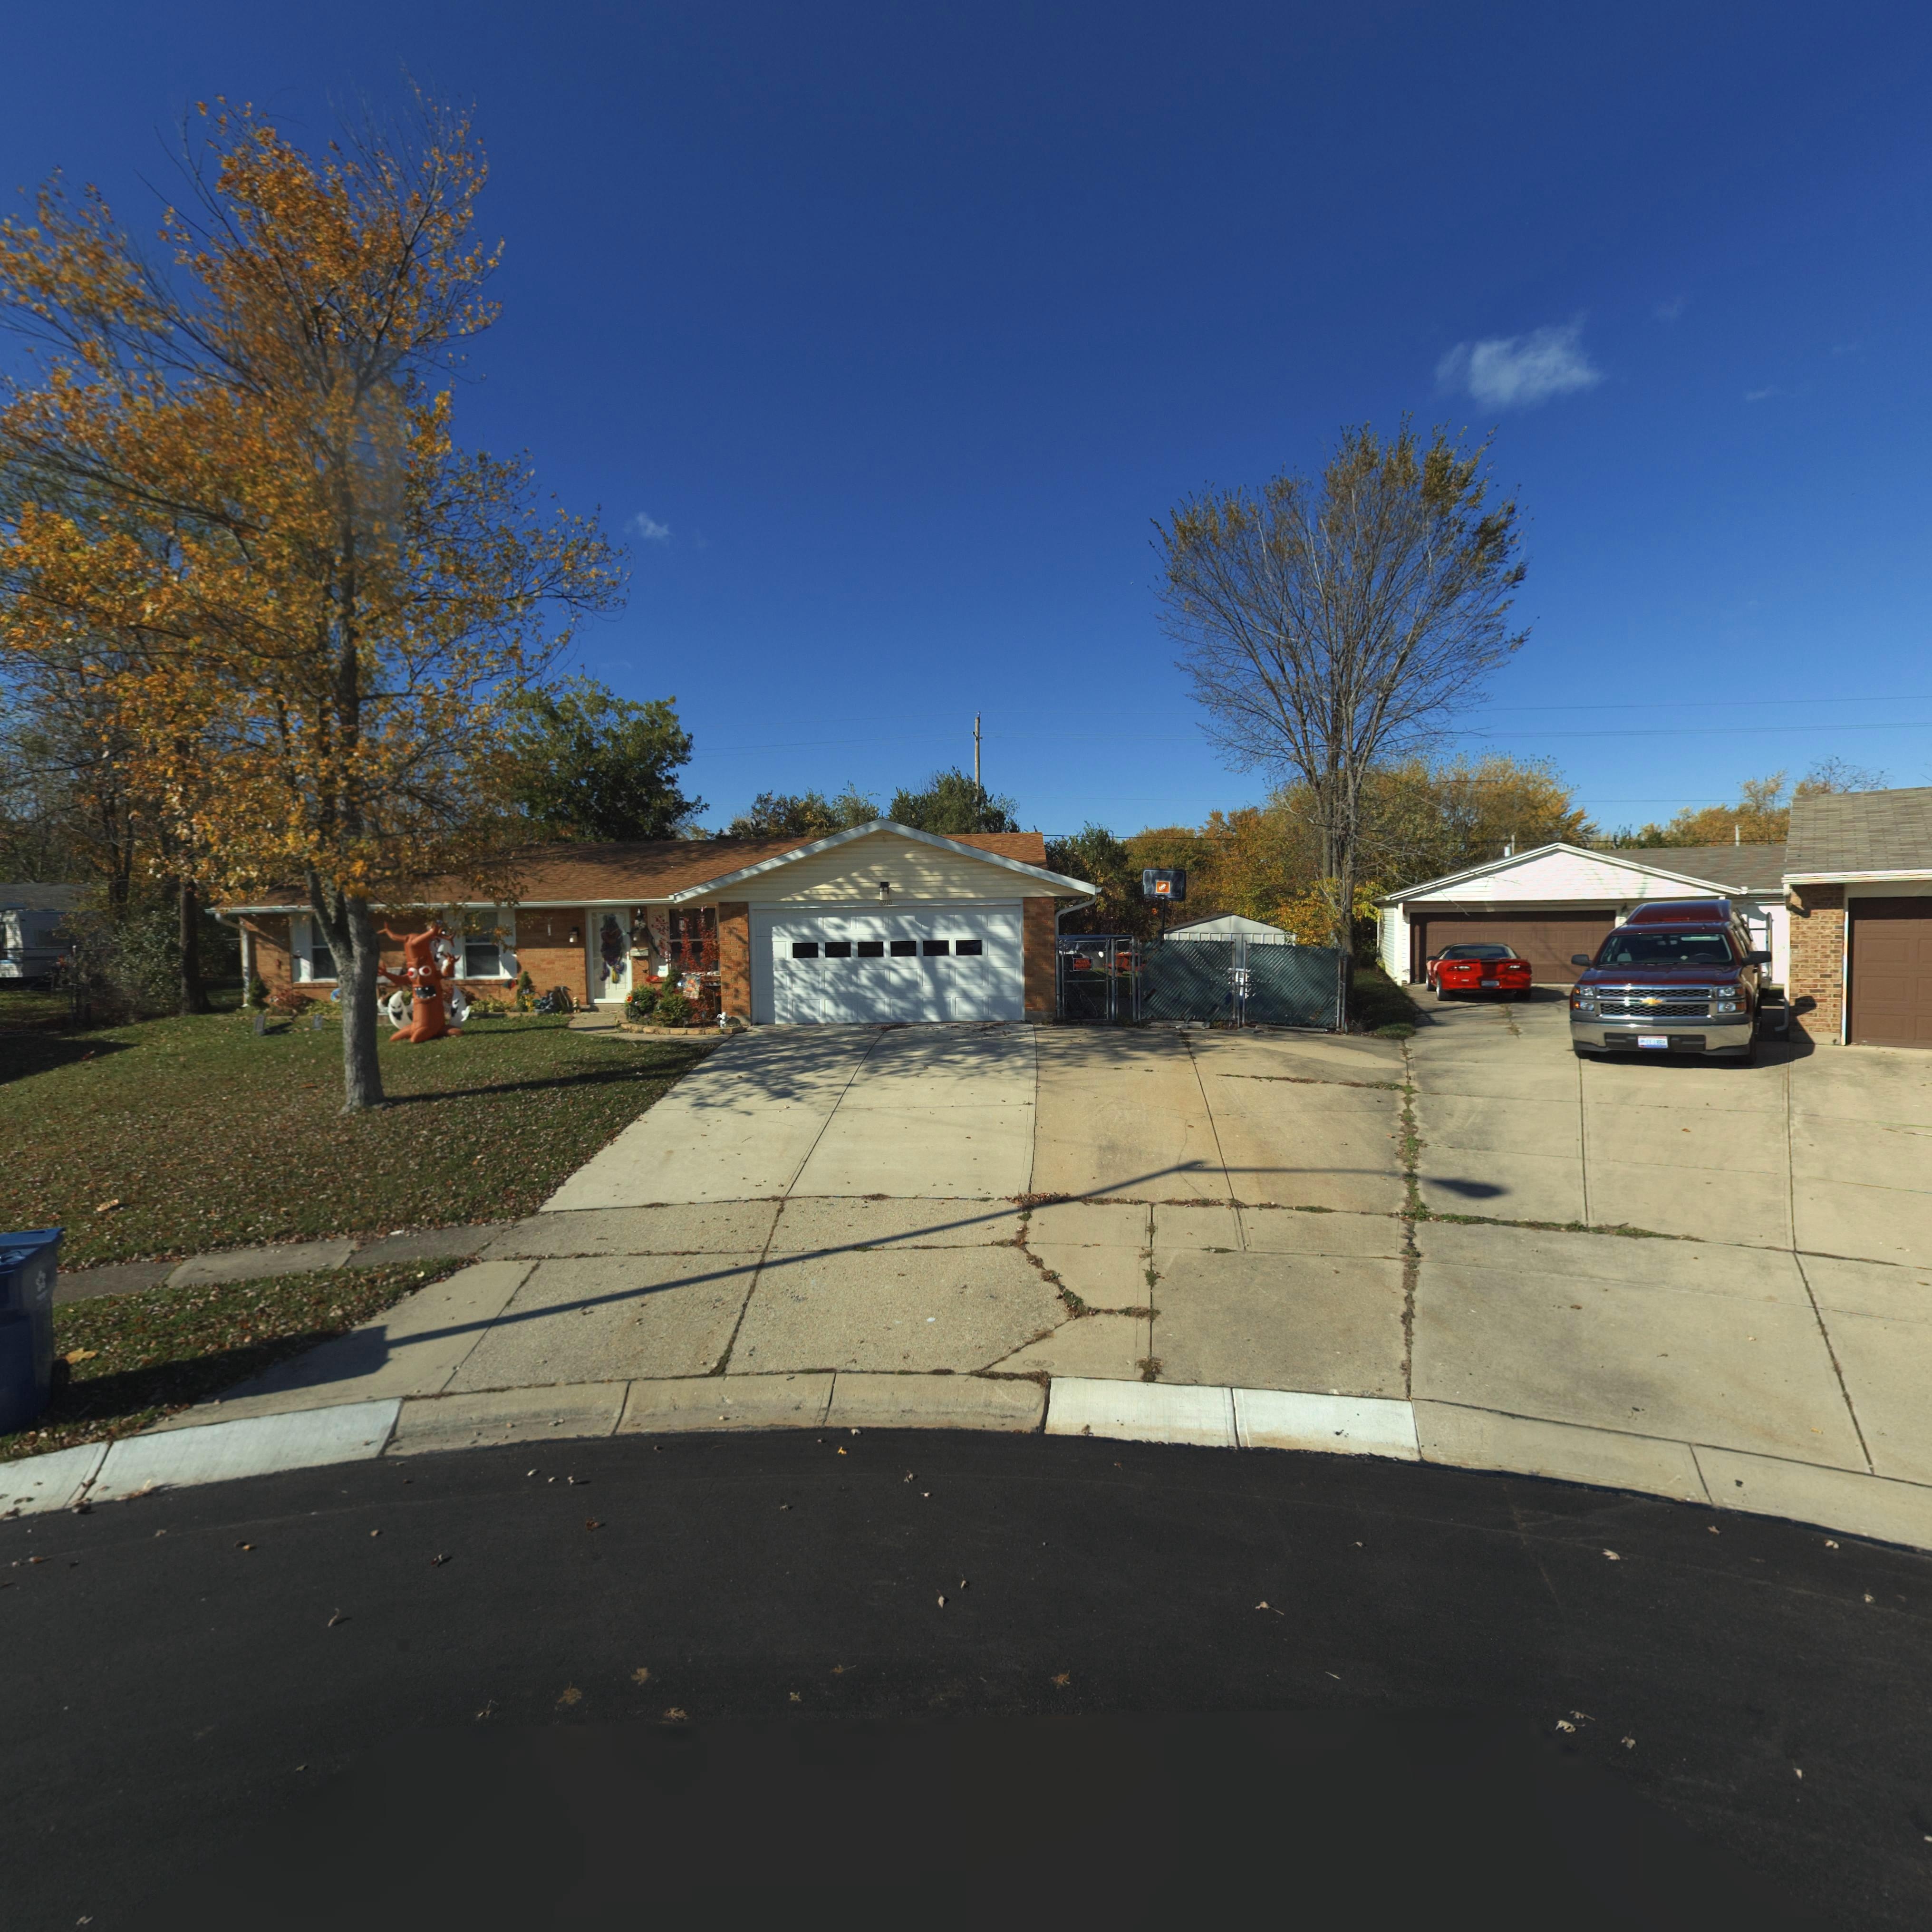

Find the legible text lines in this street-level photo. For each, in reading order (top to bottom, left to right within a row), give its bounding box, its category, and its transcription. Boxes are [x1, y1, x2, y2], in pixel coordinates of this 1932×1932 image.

[879, 899, 892, 906] StreetNumber: 6910